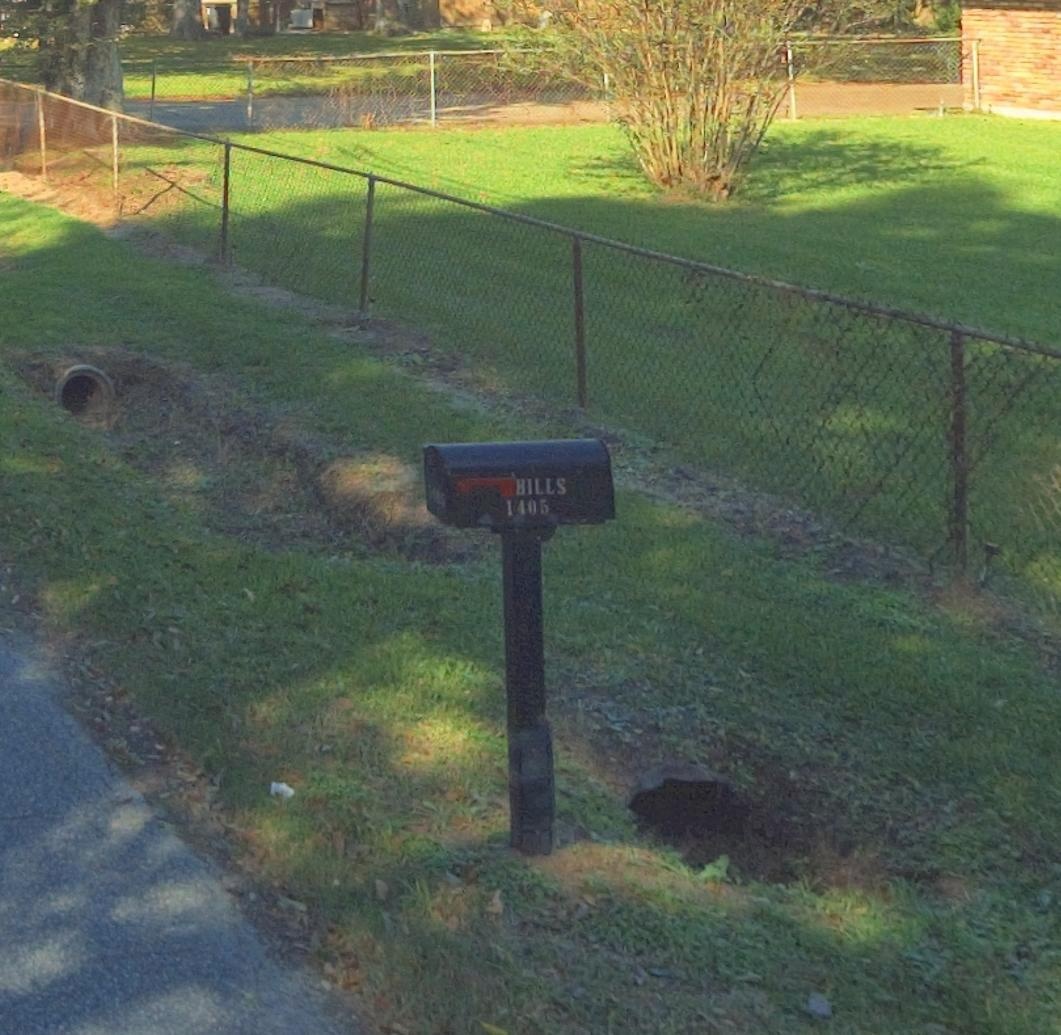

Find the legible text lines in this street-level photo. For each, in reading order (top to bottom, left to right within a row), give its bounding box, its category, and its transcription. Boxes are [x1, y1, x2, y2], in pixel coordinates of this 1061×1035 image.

[513, 475, 571, 497] StreetName: BILLS
[502, 496, 552, 518] StreetNumber: 1405